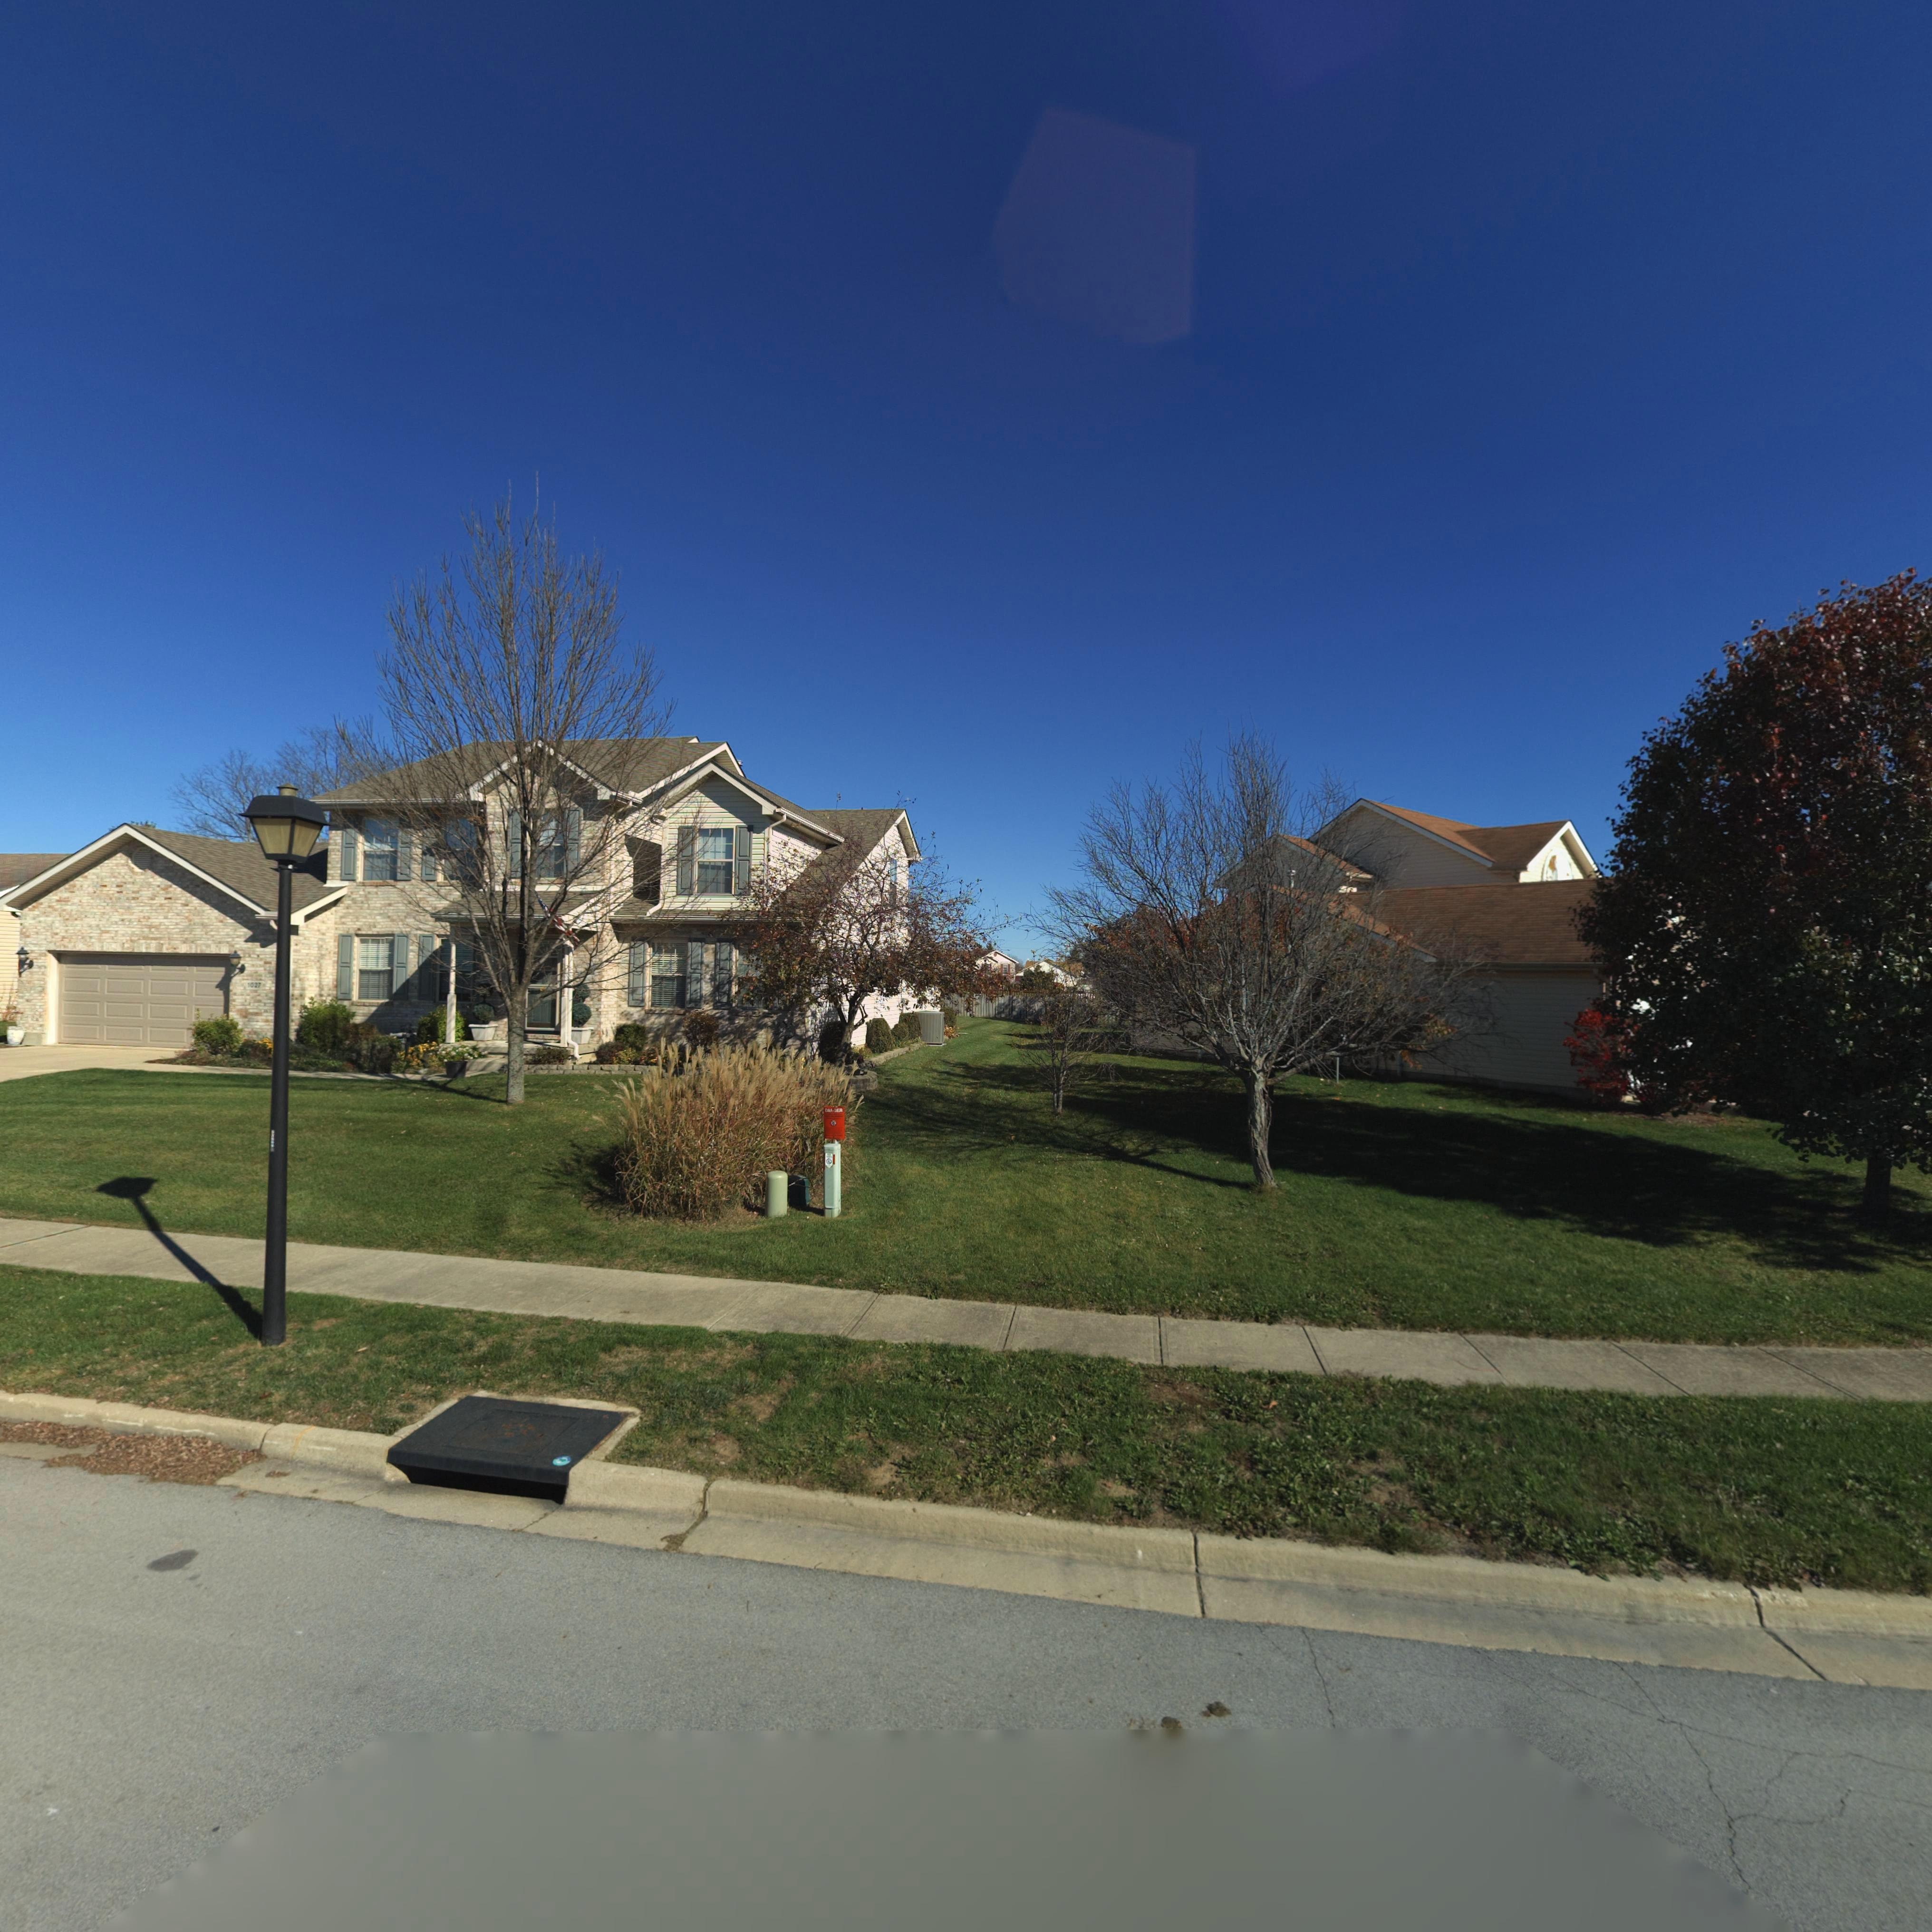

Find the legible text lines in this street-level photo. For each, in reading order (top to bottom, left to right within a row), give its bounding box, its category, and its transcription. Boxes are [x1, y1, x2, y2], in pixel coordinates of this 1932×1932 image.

[246, 981, 262, 989] StreetNumber: 102*